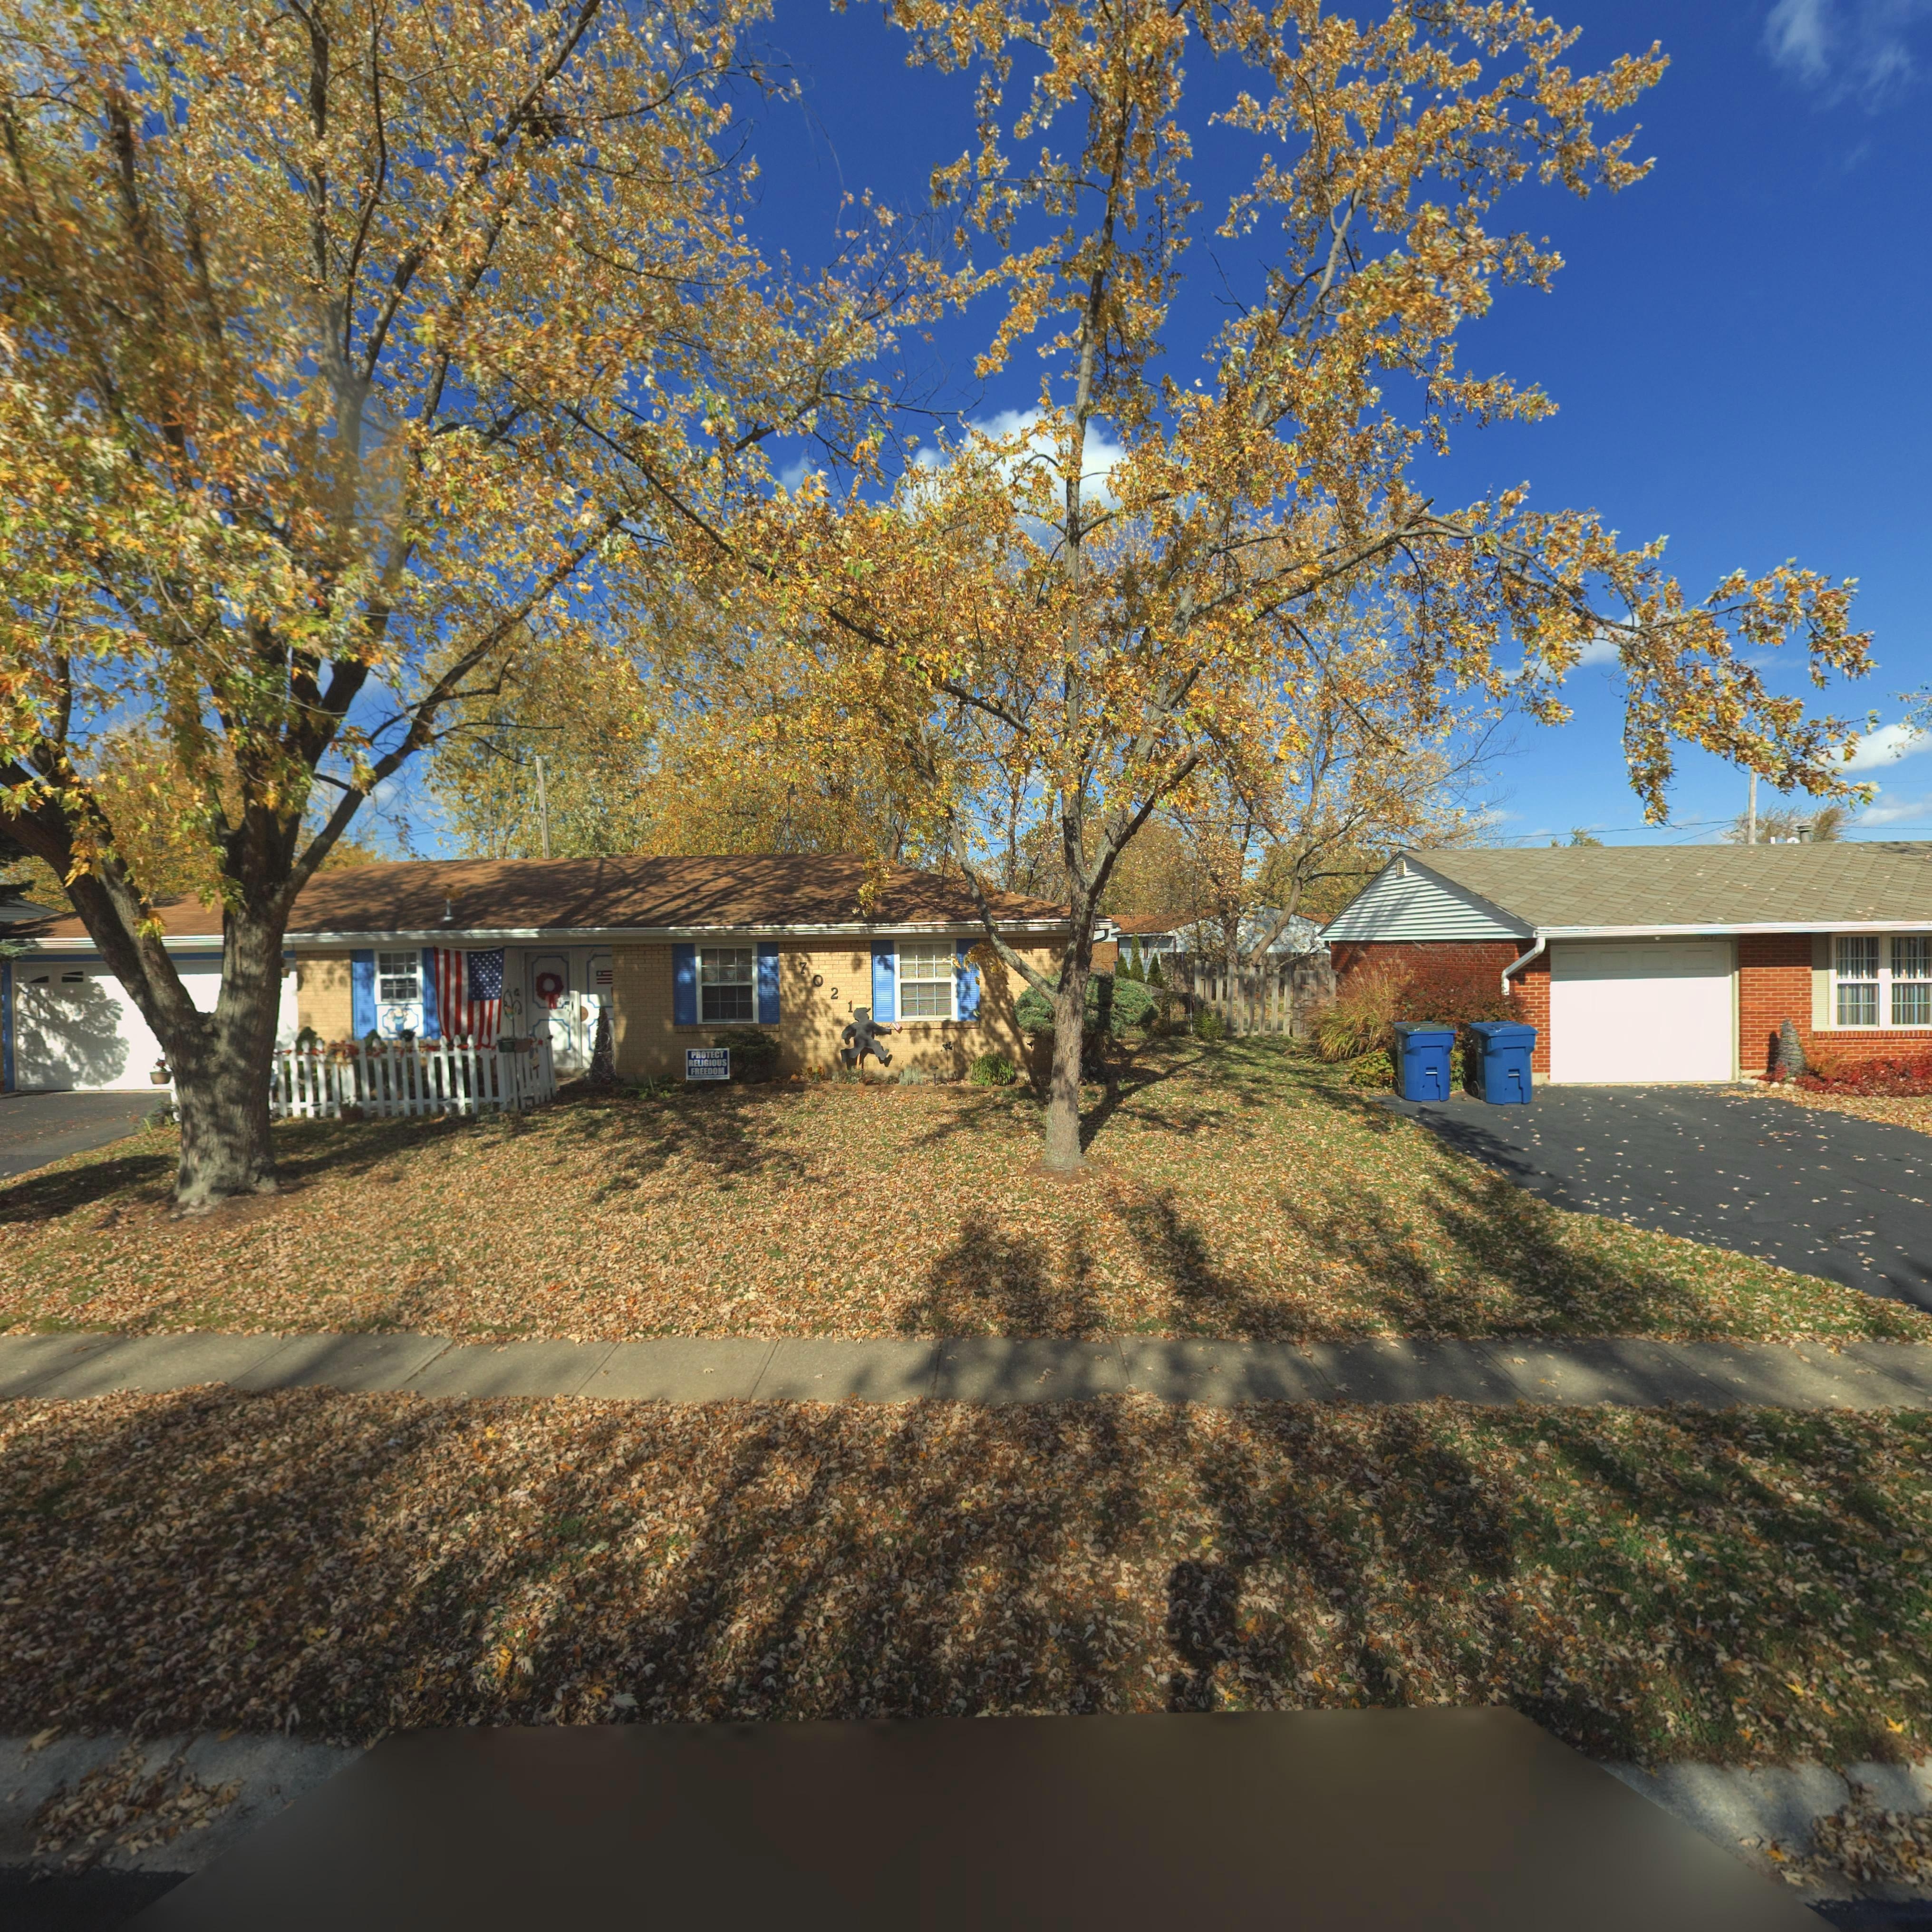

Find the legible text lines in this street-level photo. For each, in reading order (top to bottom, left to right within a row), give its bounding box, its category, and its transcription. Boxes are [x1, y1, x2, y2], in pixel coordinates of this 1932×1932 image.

[798, 961, 853, 1014] StreetNumber: 7021